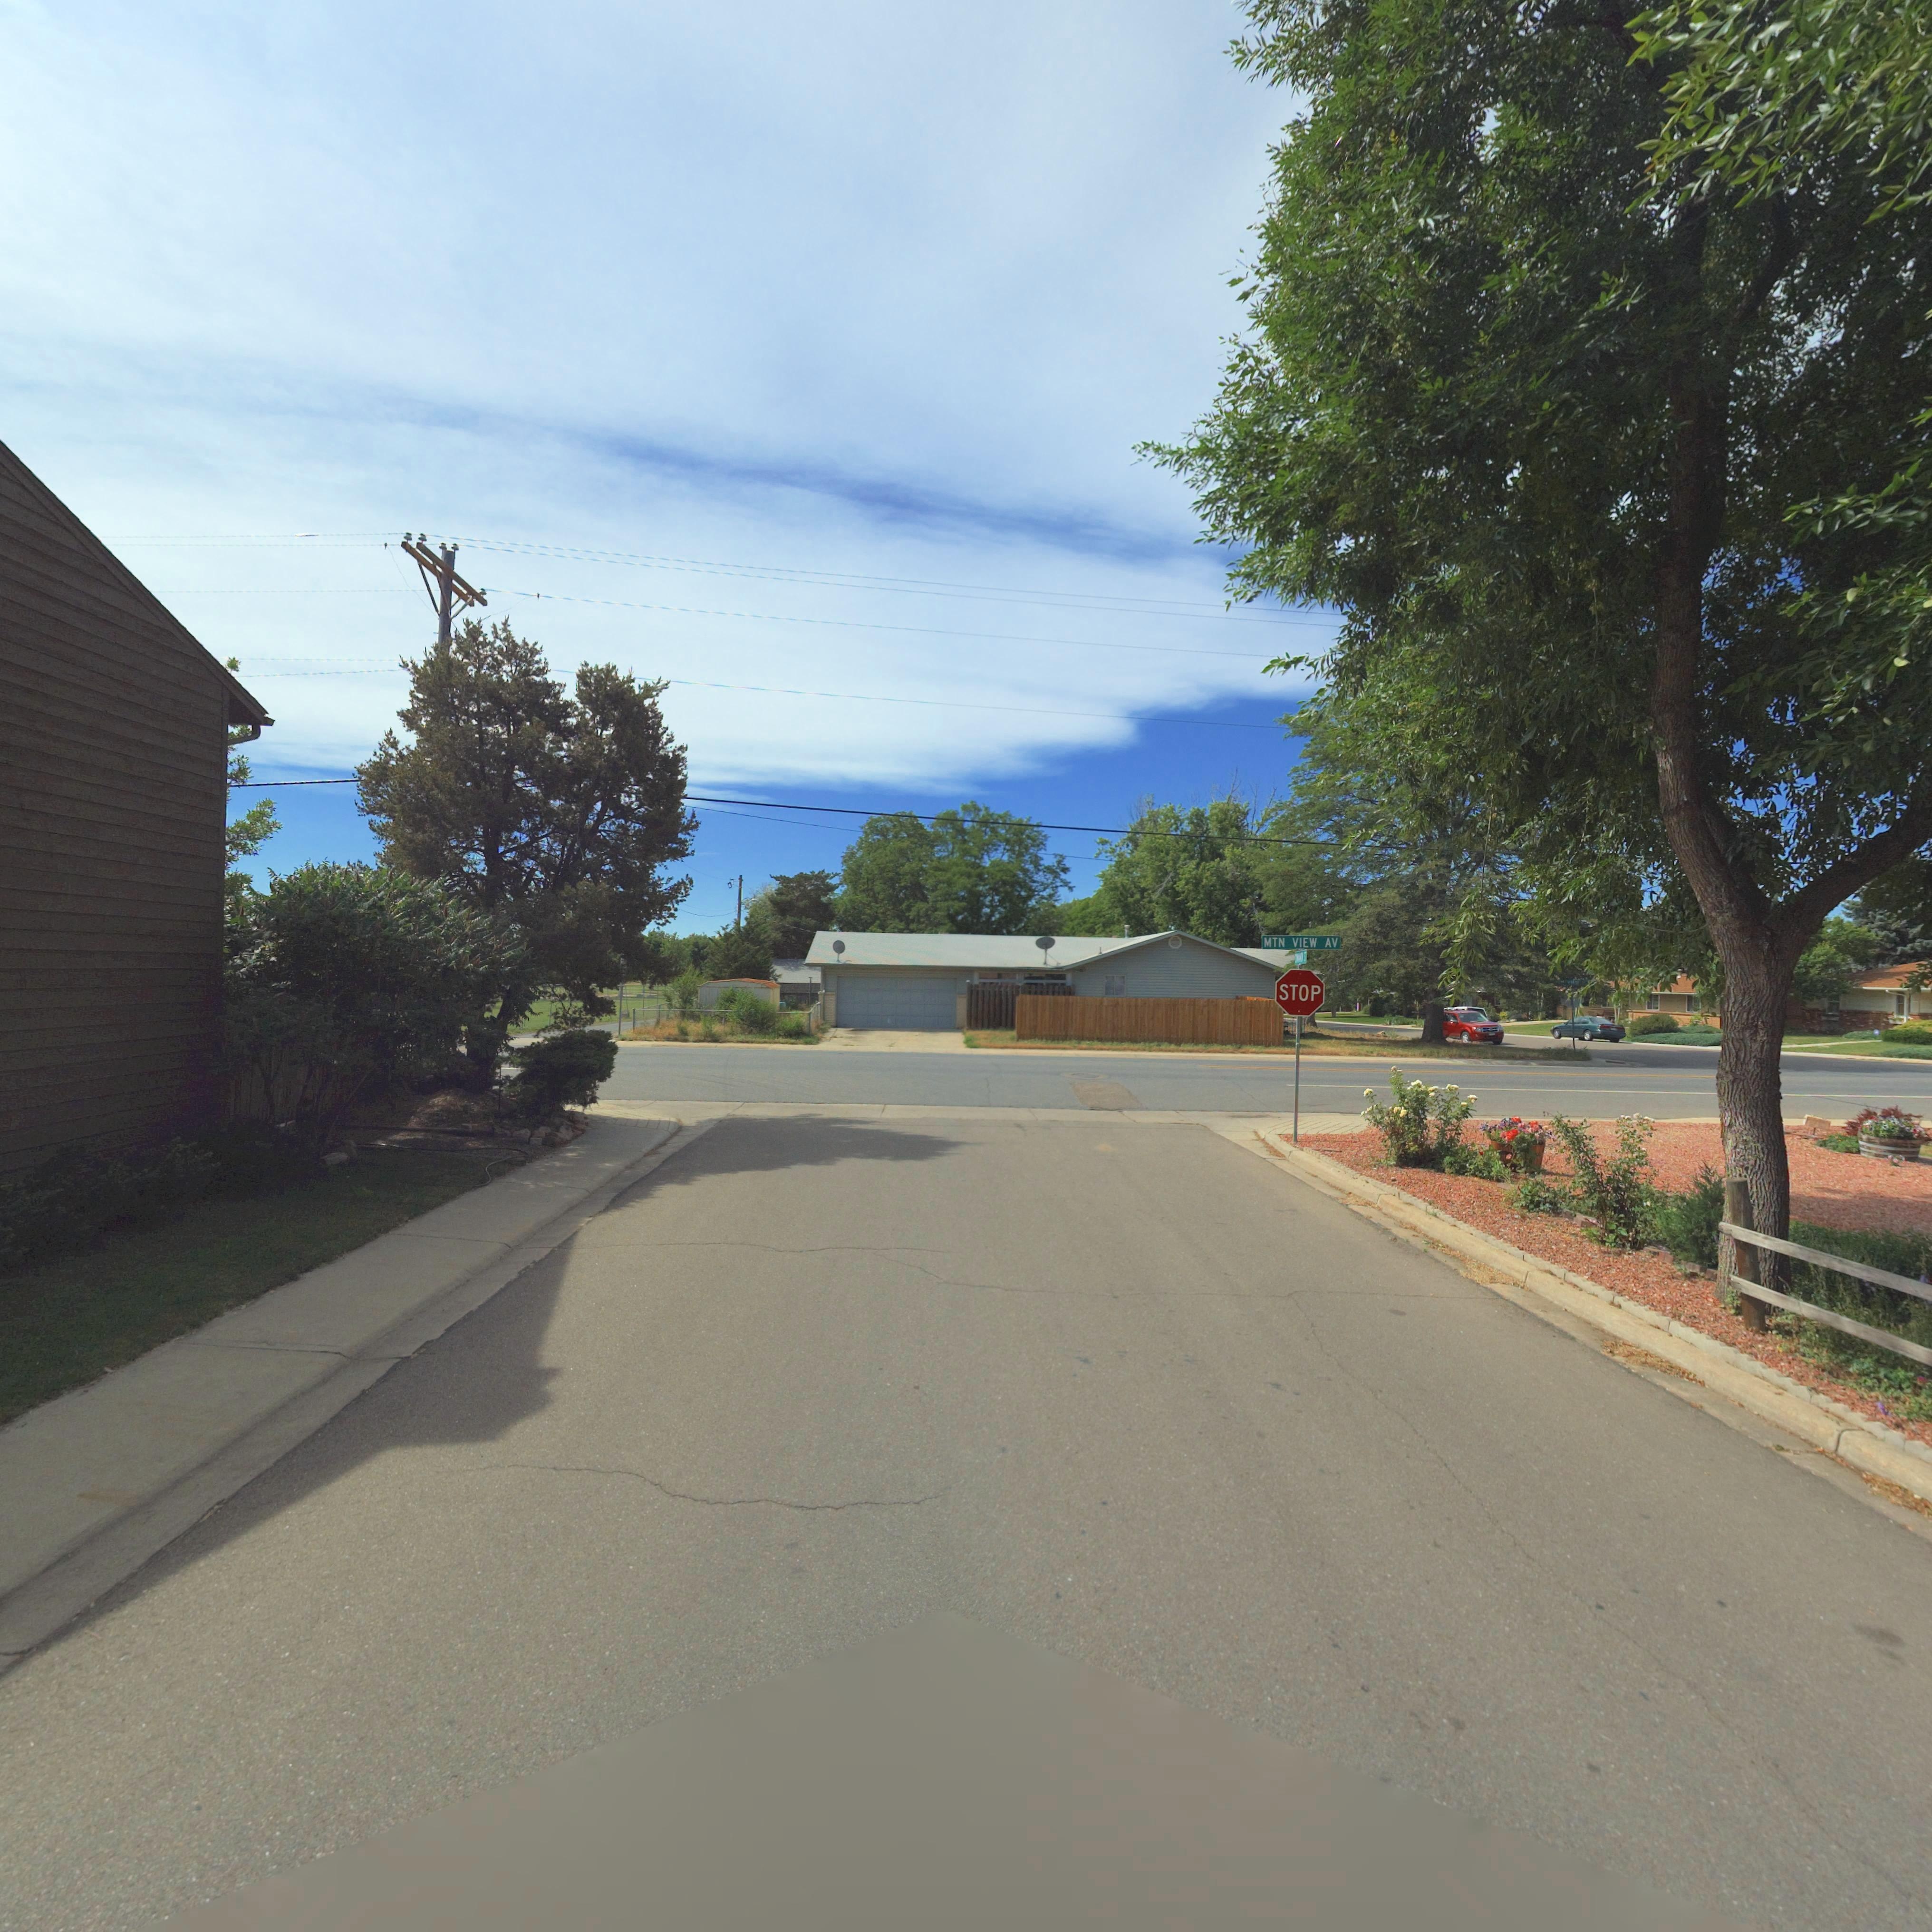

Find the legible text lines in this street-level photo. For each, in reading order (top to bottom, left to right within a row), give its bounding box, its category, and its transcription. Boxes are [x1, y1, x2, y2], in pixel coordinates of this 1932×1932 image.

[1264, 937, 1338, 947] StreetName: MTN VIEW AV